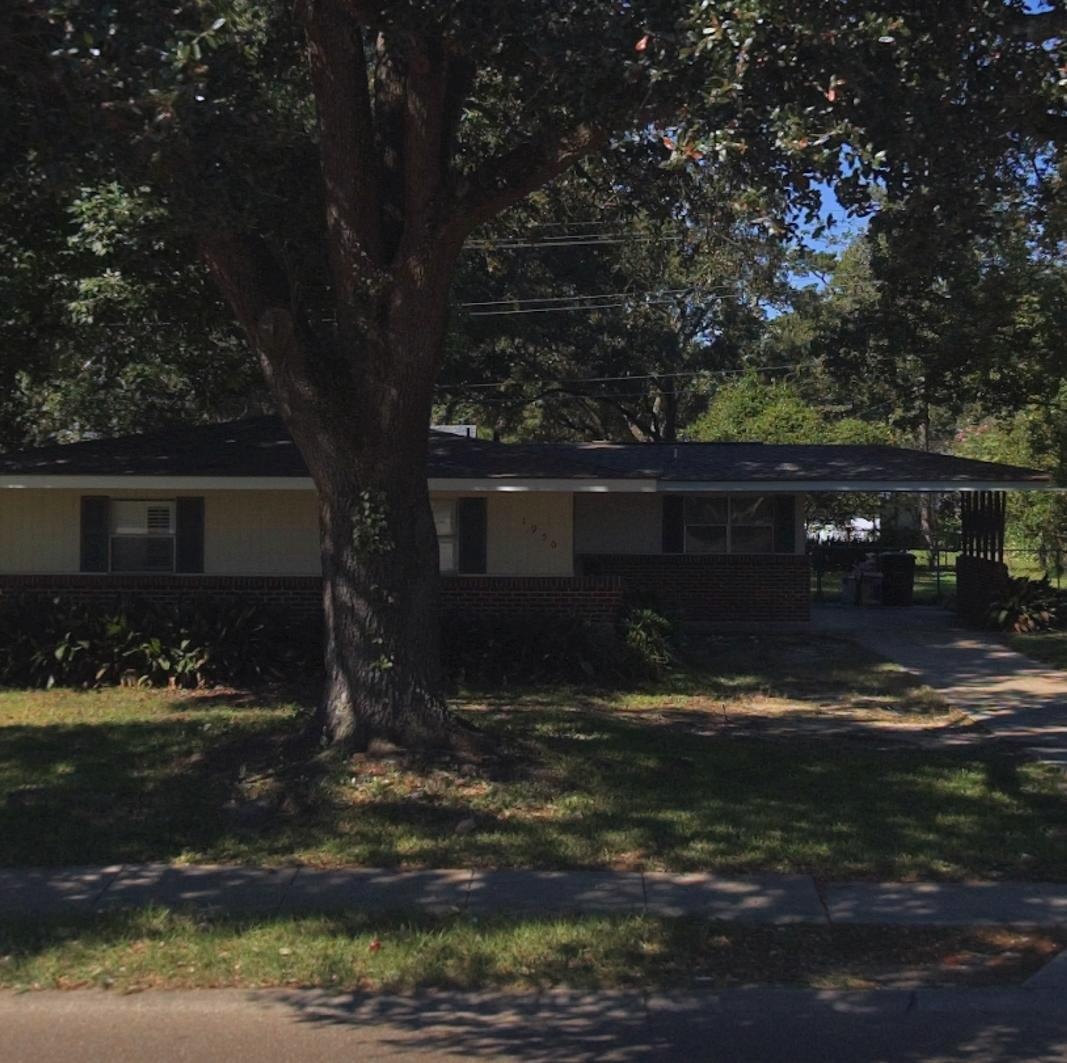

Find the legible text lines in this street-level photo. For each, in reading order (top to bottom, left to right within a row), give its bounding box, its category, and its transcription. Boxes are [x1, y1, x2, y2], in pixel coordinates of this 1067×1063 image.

[519, 515, 559, 552] StreetNumber: 1950